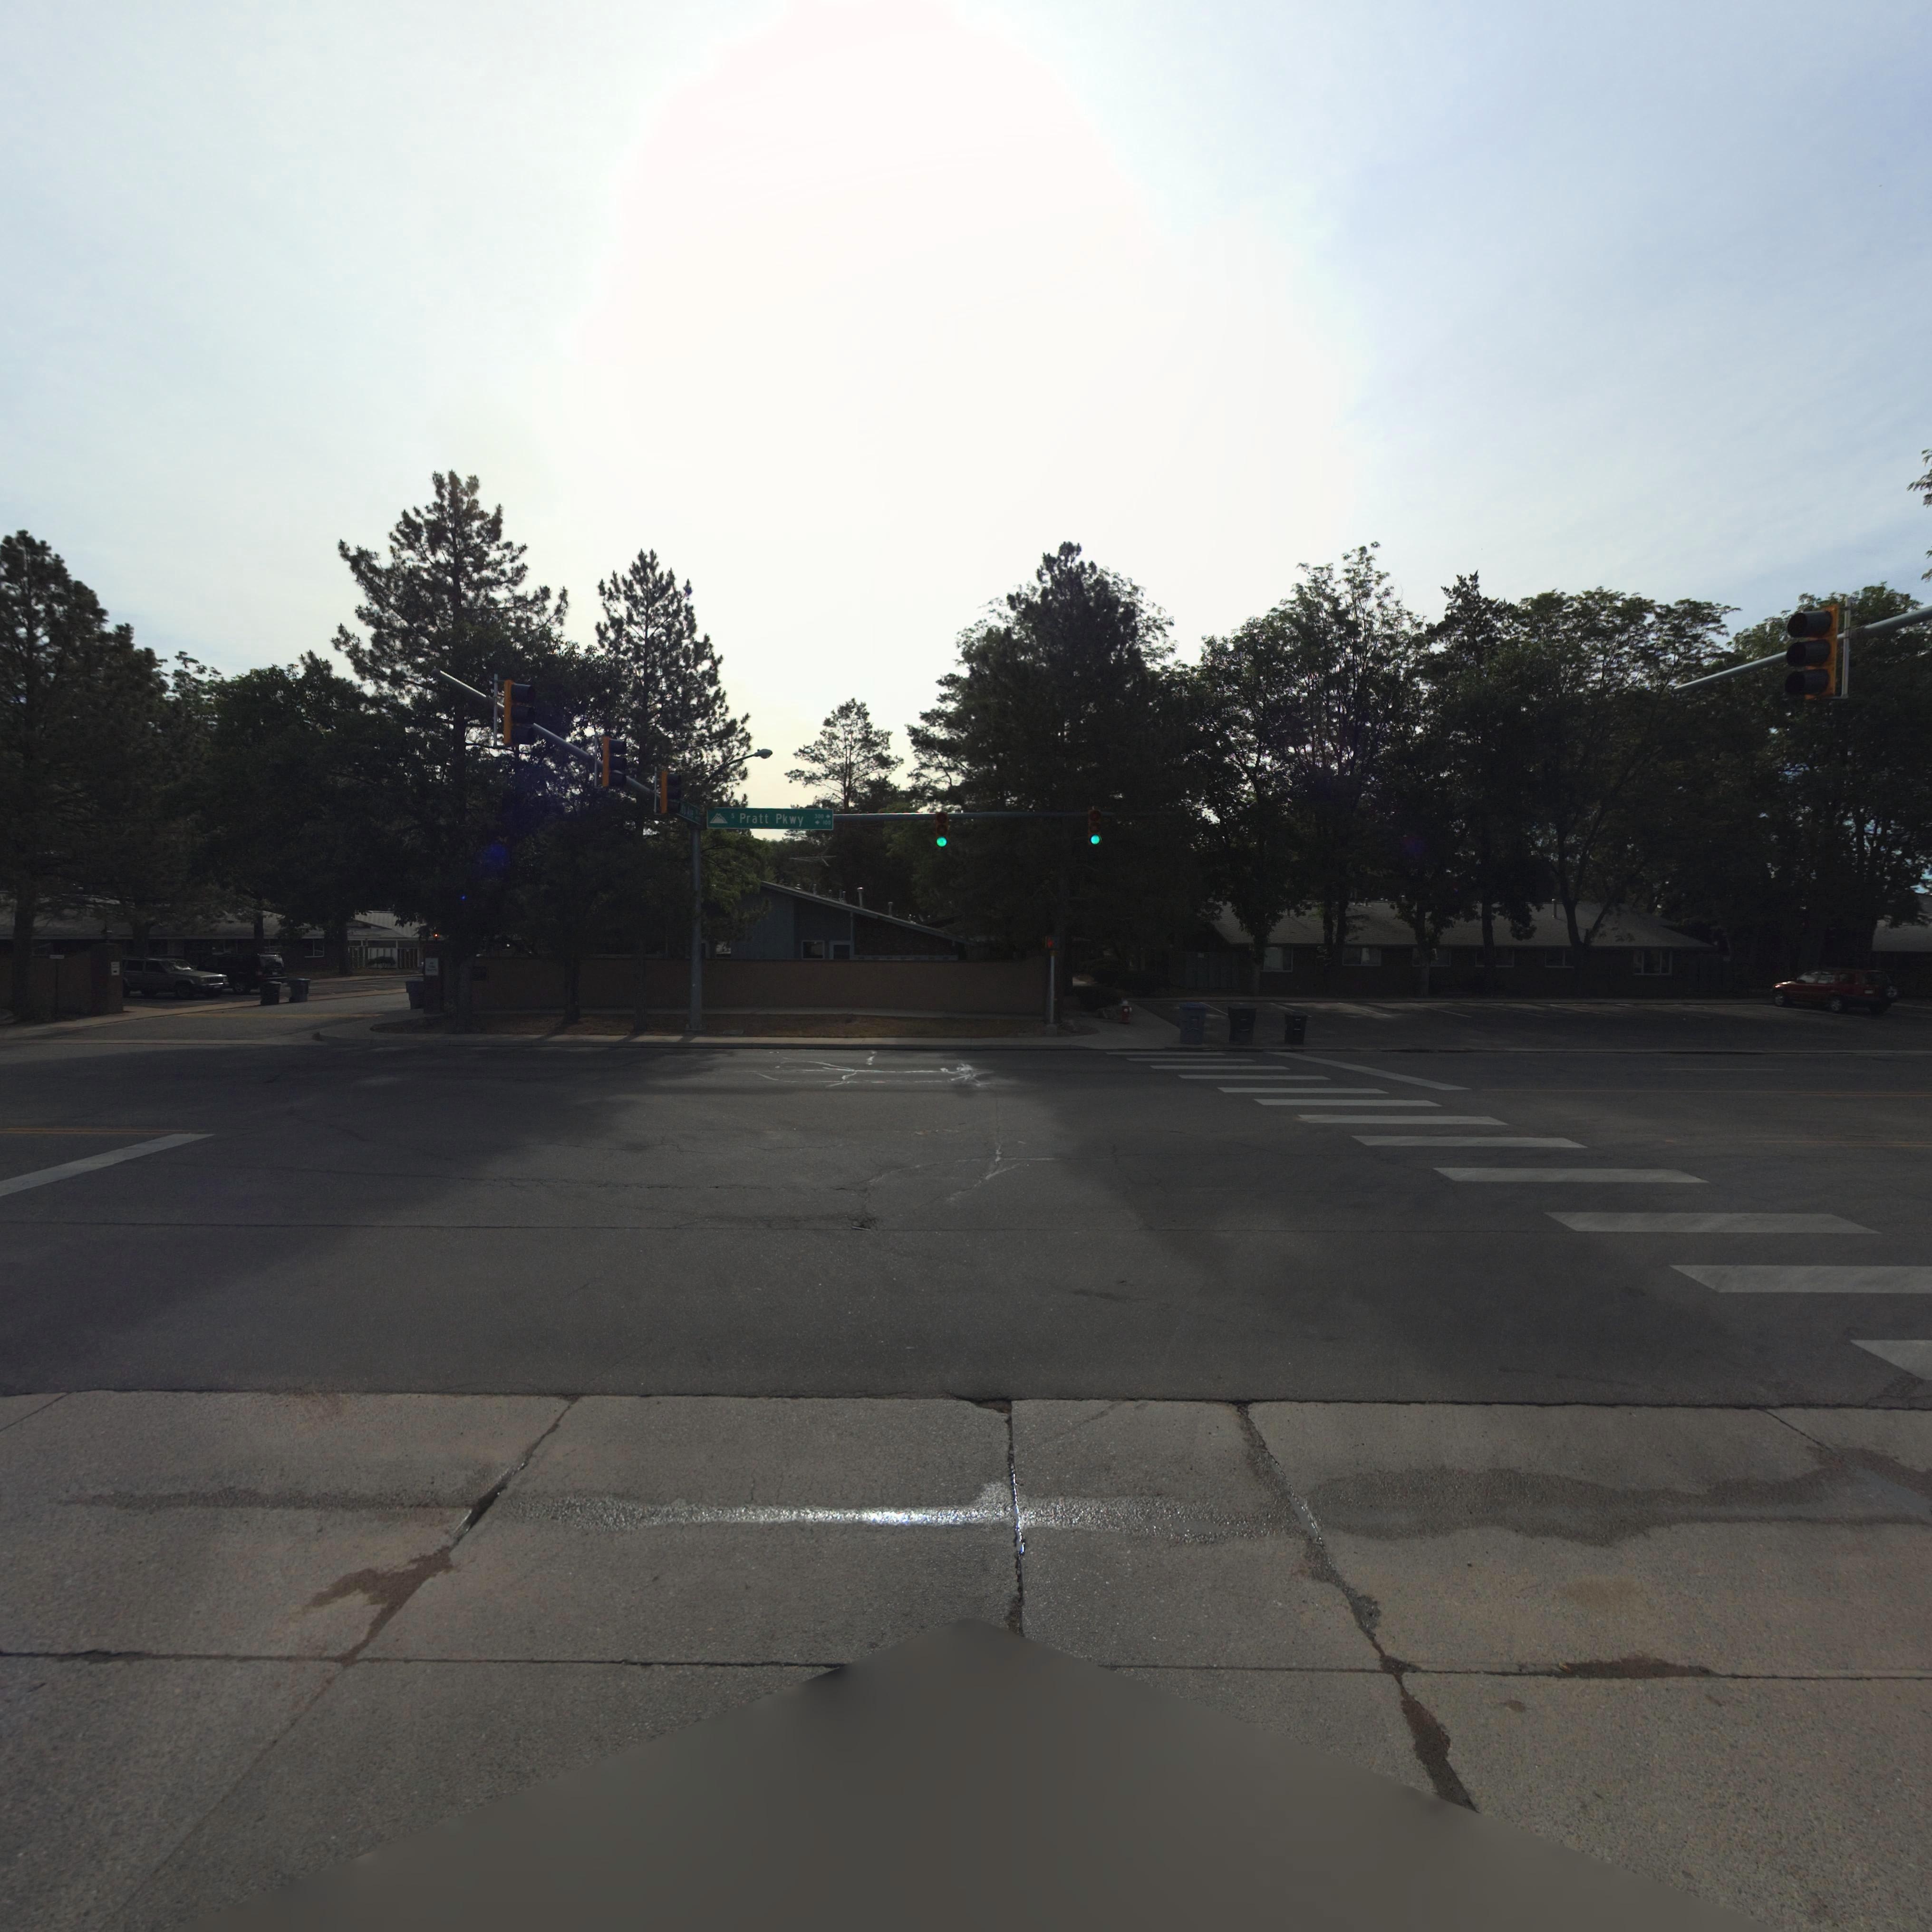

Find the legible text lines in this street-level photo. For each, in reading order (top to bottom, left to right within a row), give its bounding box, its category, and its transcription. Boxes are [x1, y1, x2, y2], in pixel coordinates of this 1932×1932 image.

[679, 803, 694, 818] StreetName: *** A**
[731, 812, 803, 827] StreetName: s Pratt Pkwy
[814, 813, 831, 818] StreetNumber: 300->
[814, 820, 831, 825] StreetNumberRange: <-100